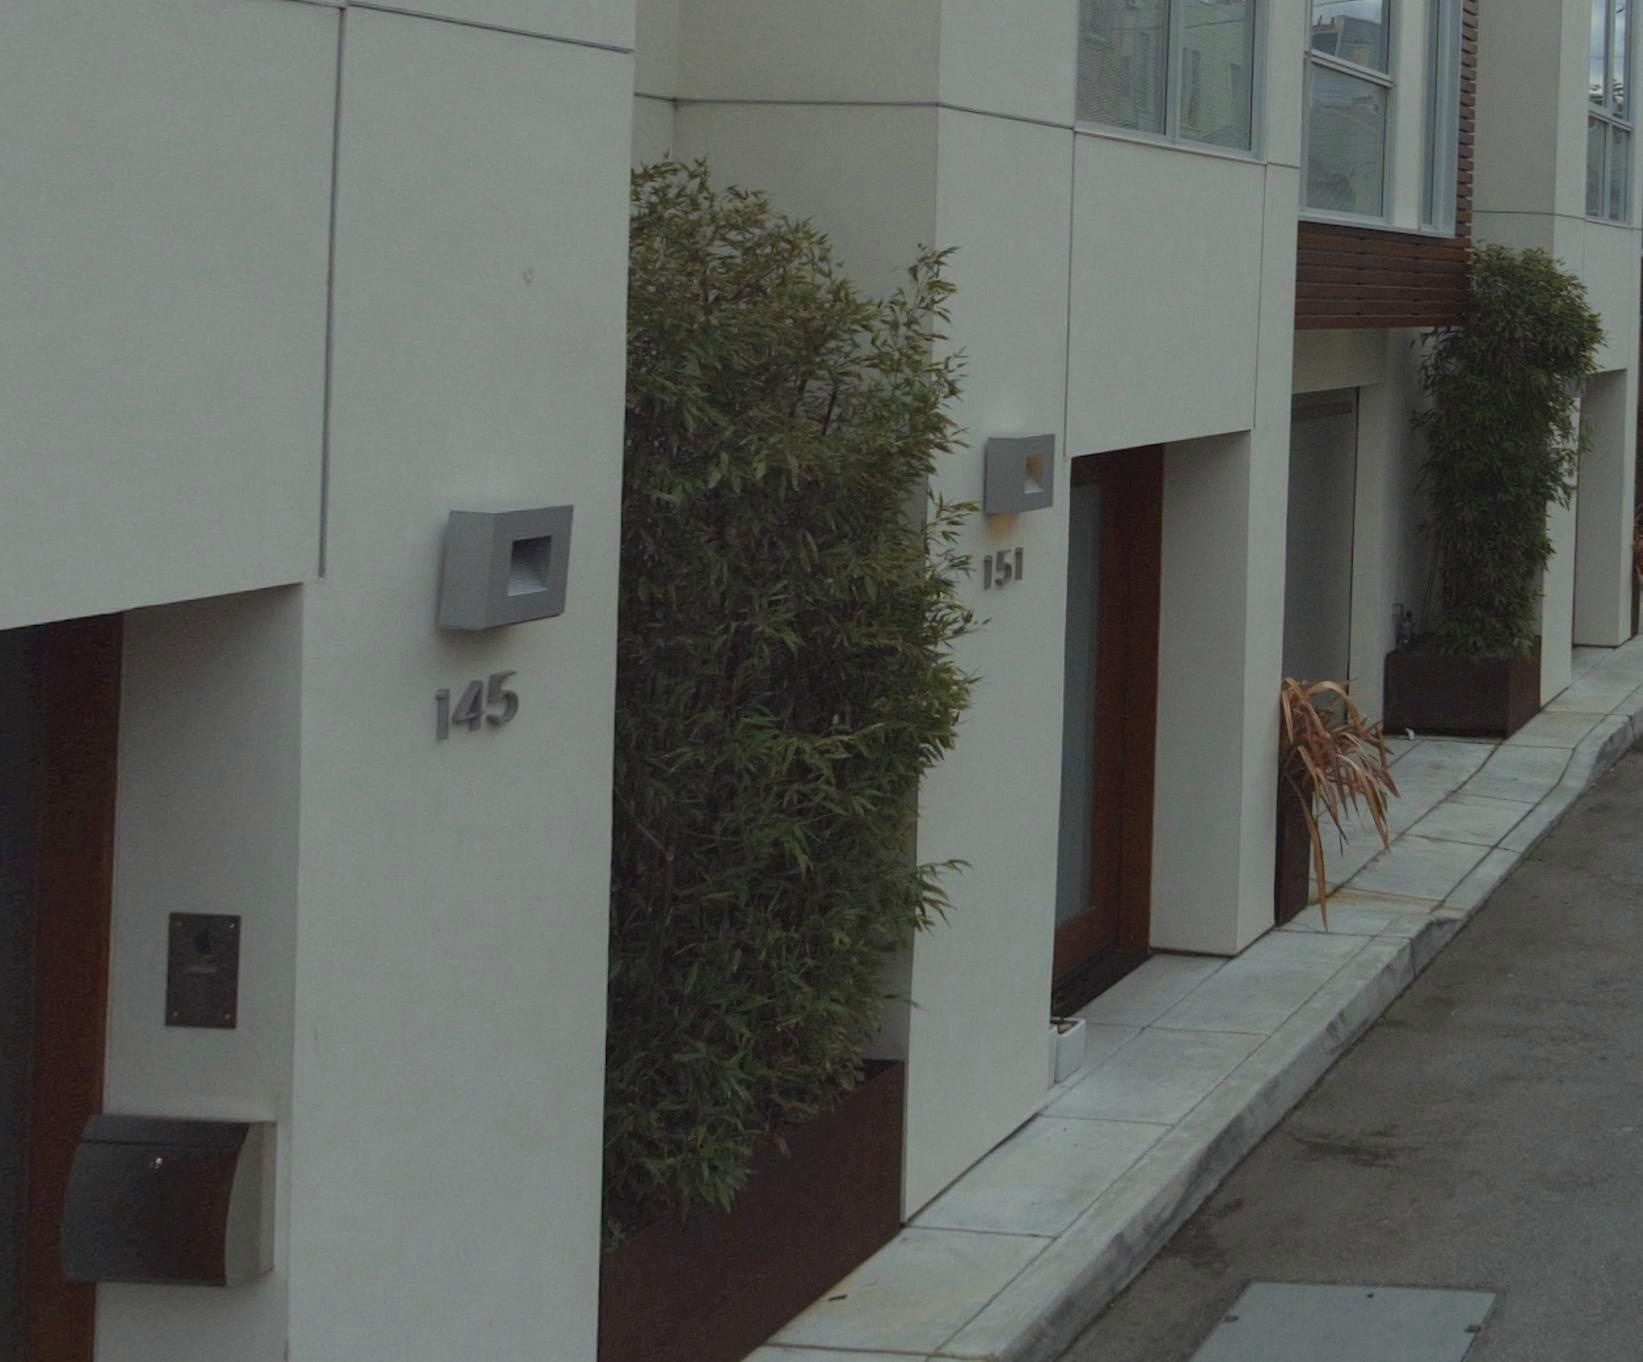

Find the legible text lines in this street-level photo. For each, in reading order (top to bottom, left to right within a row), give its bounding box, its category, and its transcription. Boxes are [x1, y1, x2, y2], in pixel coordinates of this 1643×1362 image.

[981, 543, 1026, 593] StreetNumber: 151
[433, 665, 521, 746] StreetNumber: 145